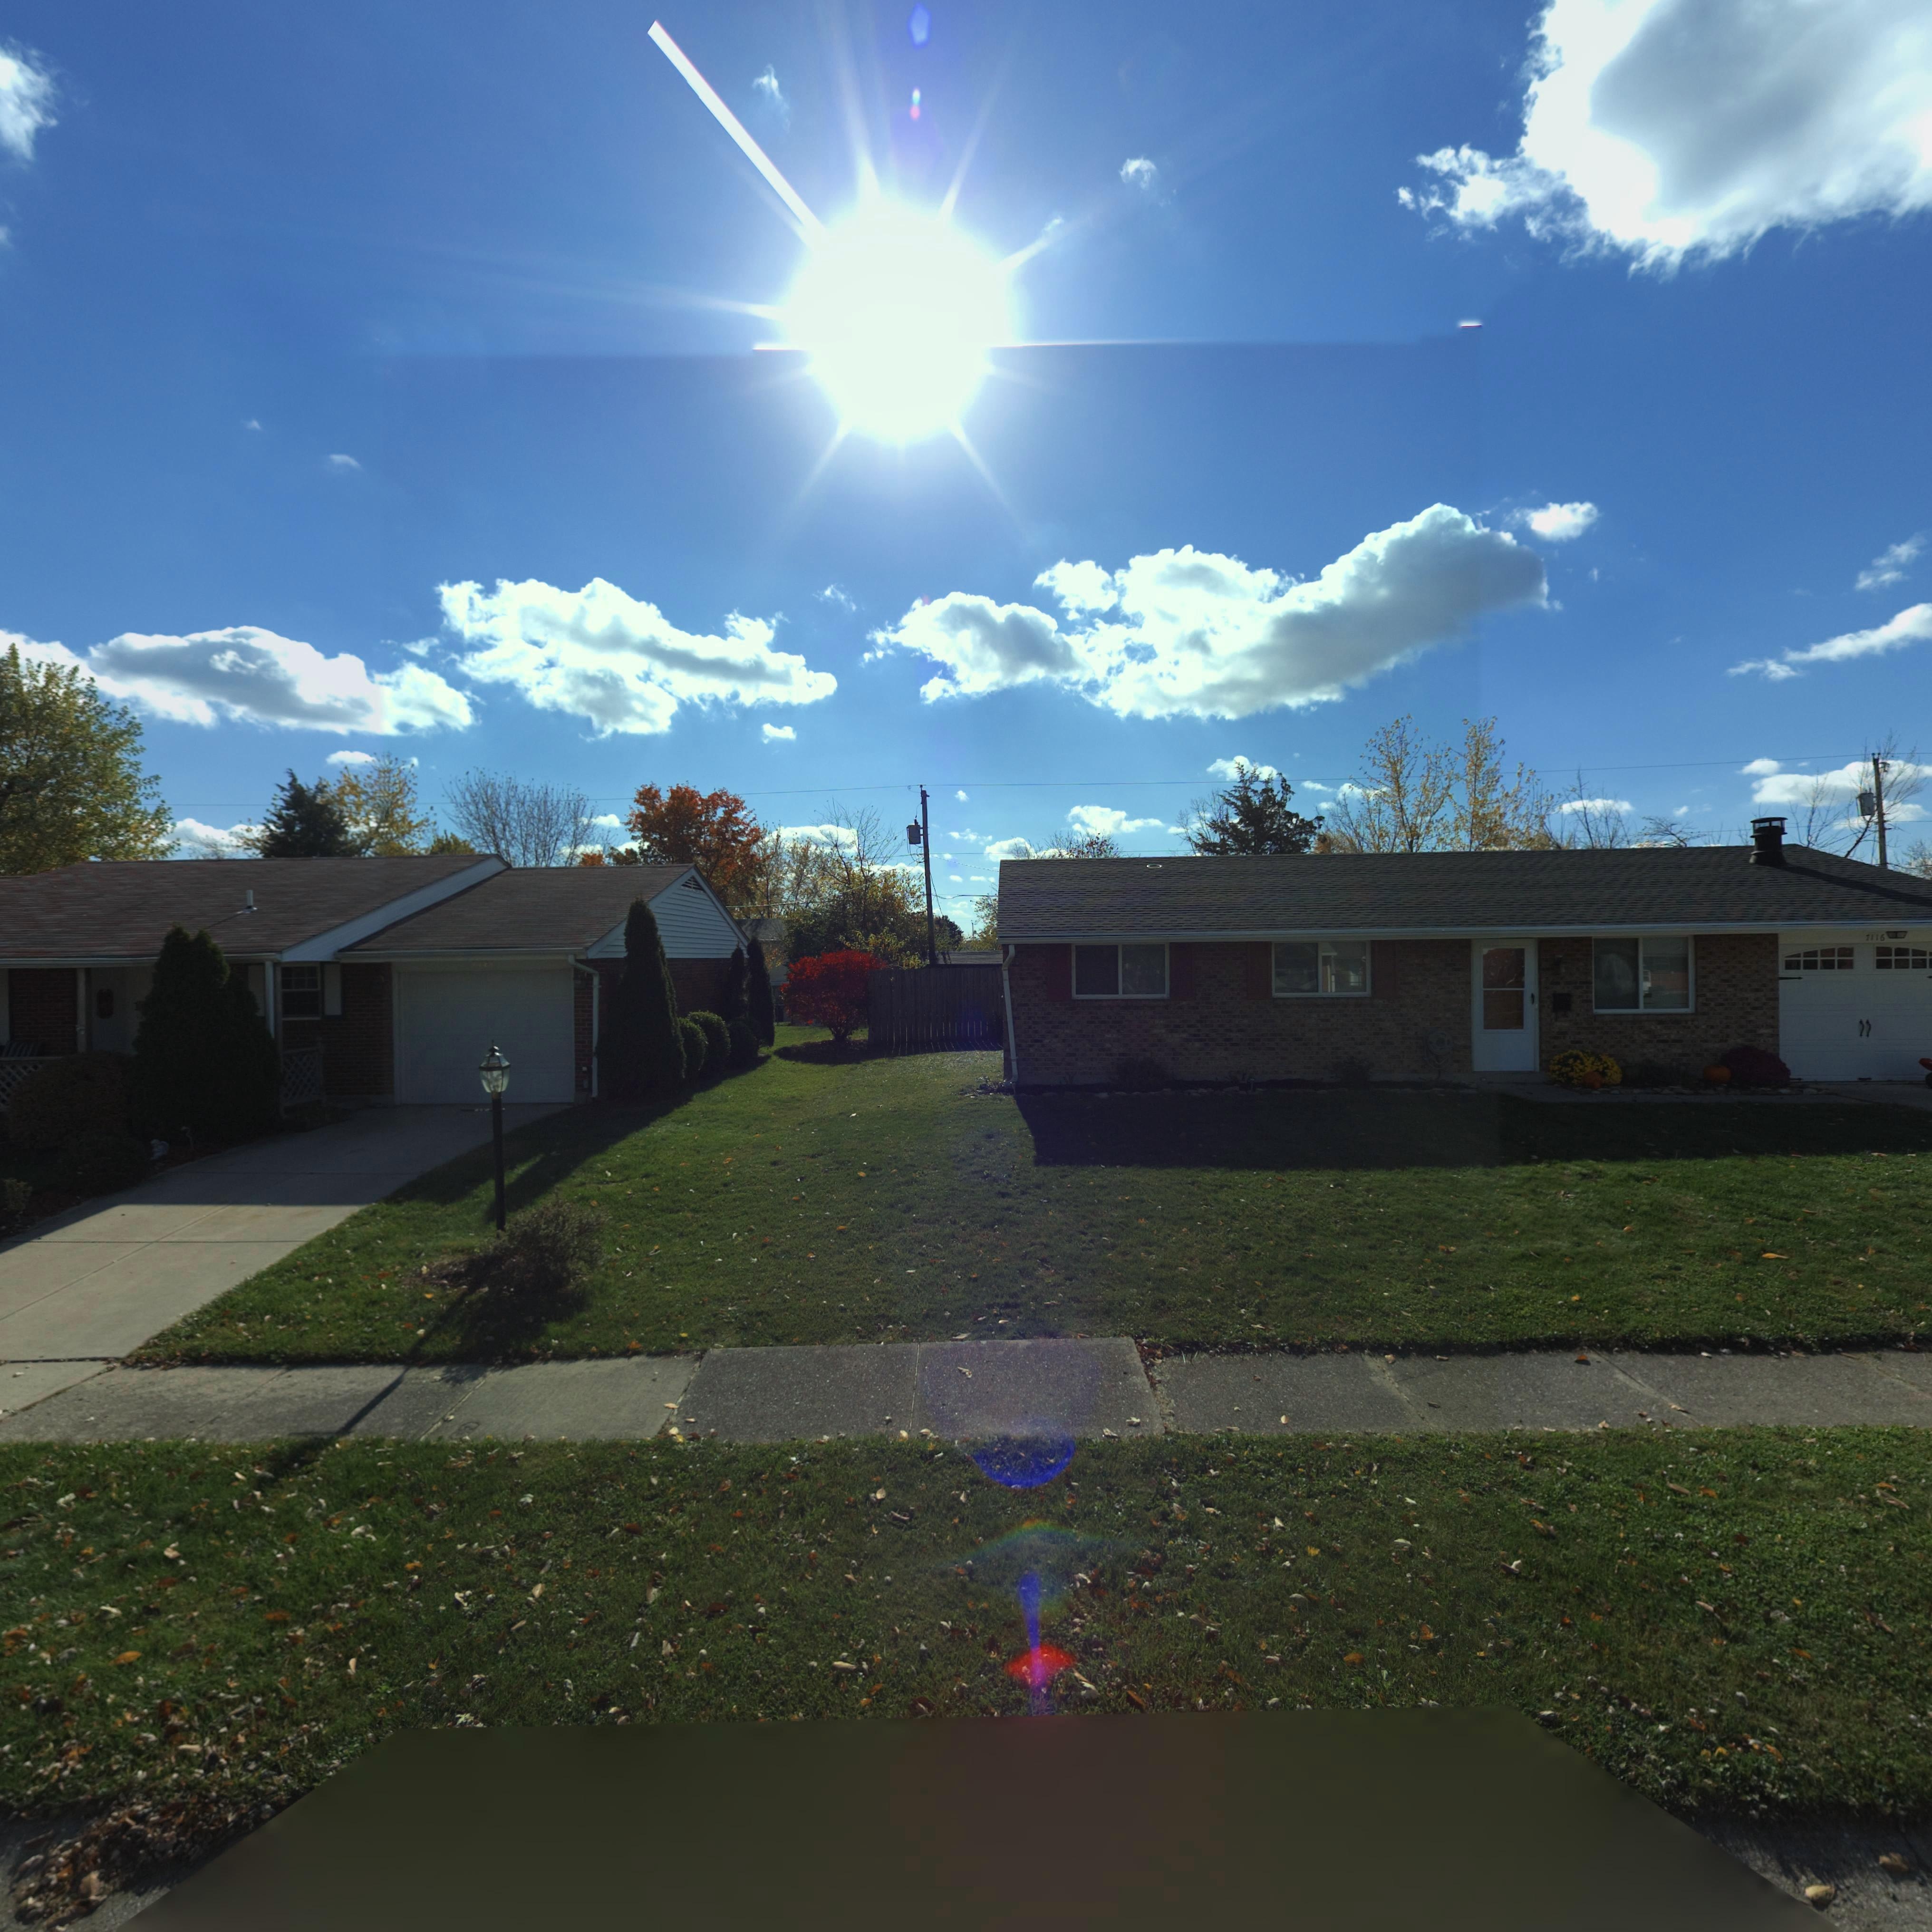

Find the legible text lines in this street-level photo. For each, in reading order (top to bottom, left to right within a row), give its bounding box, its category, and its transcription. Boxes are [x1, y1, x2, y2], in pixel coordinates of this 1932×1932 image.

[1864, 933, 1886, 943] StreetNumber: 7116